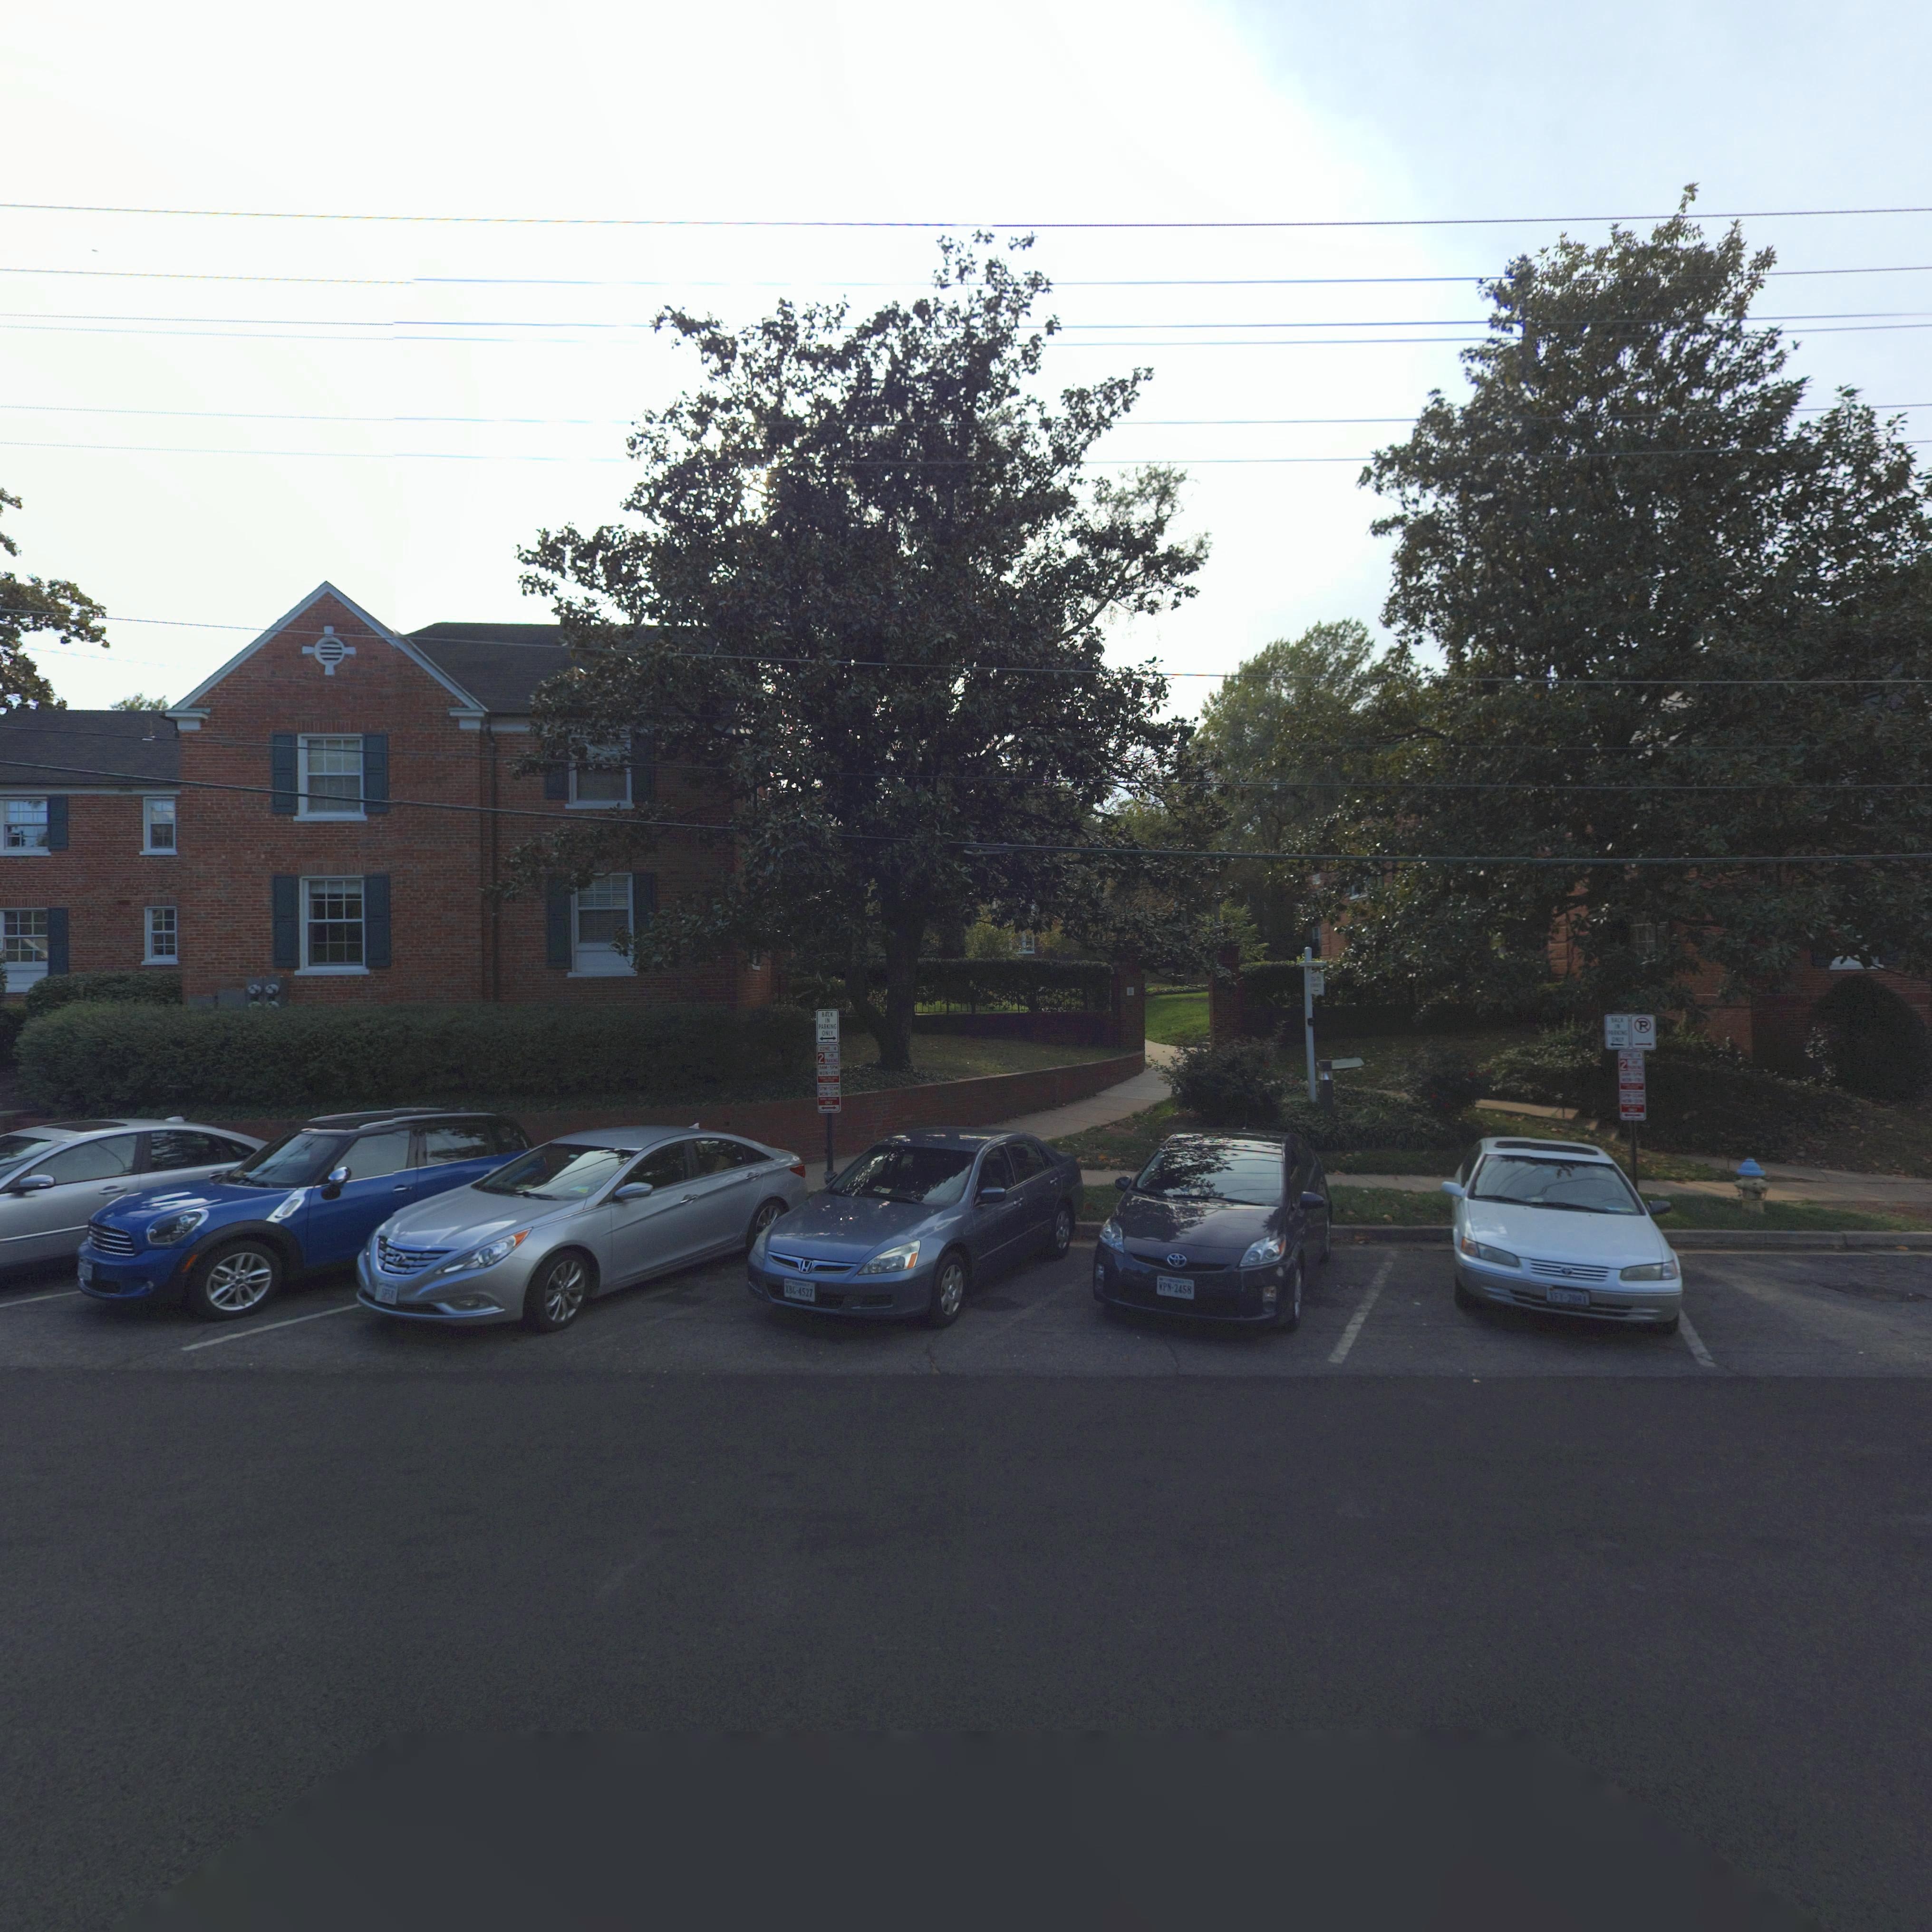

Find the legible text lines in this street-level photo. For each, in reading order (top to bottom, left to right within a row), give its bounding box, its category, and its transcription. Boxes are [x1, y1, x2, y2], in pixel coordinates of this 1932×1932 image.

[821, 1011, 833, 1018] None: BACK
[824, 1017, 830, 1024] None: IN
[1610, 1016, 1624, 1024] None: BACK
[818, 1023, 837, 1030] None: PARKING
[821, 1030, 834, 1036] None: ONLY
[1611, 1036, 1625, 1043] None: ONL*
[819, 1046, 837, 1052] None: ZONE 4
[818, 1053, 824, 1064] None: 2
[819, 1065, 838, 1070] None: 8AM-5PM
[1619, 1059, 1627, 1071] None: 2
[819, 1071, 838, 1076] None: MON-FRI
[819, 1085, 839, 1092] None: 5PM-12AM
[819, 1092, 839, 1097] None: MON-SUN
[379, 1287, 392, 1299] None: SFS
[785, 1284, 813, 1298] None: XBG*4527
[1159, 1281, 1192, 1295] None: WPN*2458
[1549, 1291, 1587, 1305] None: XFY*2081